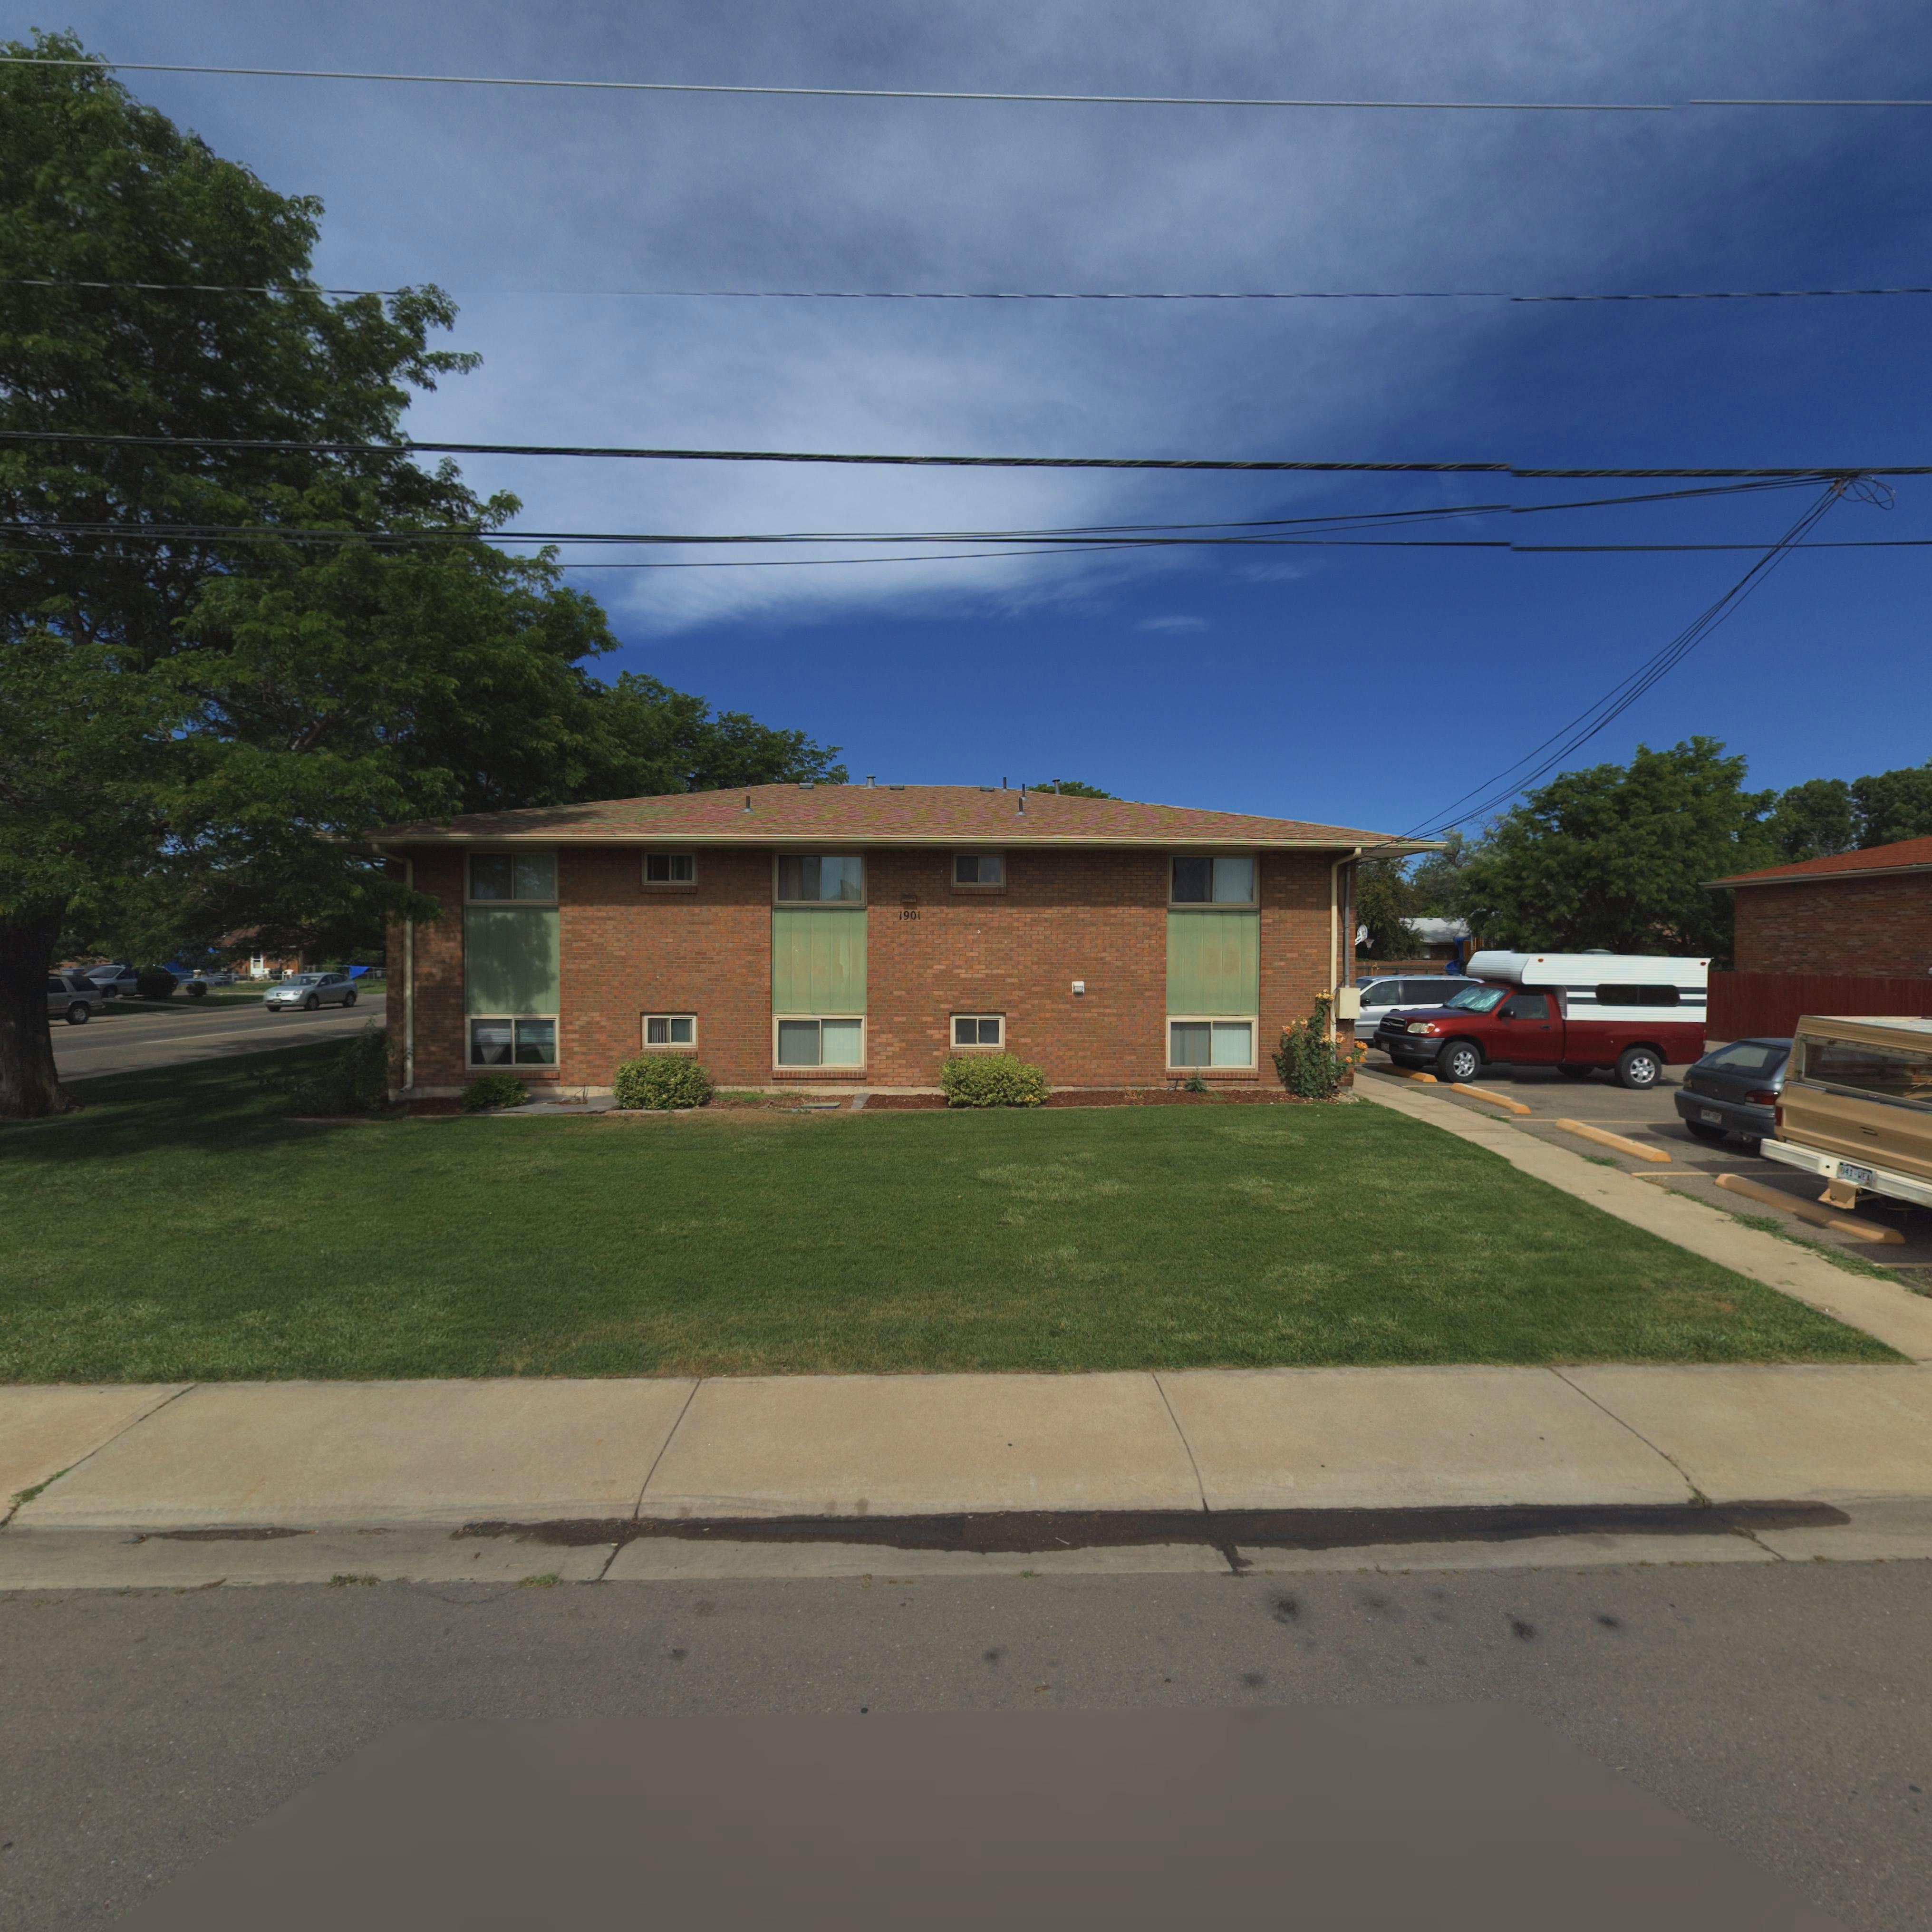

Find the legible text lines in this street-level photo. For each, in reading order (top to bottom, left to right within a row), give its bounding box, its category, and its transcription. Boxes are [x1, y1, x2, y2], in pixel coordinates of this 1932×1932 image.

[898, 910, 921, 920] StreetNumber: 1901